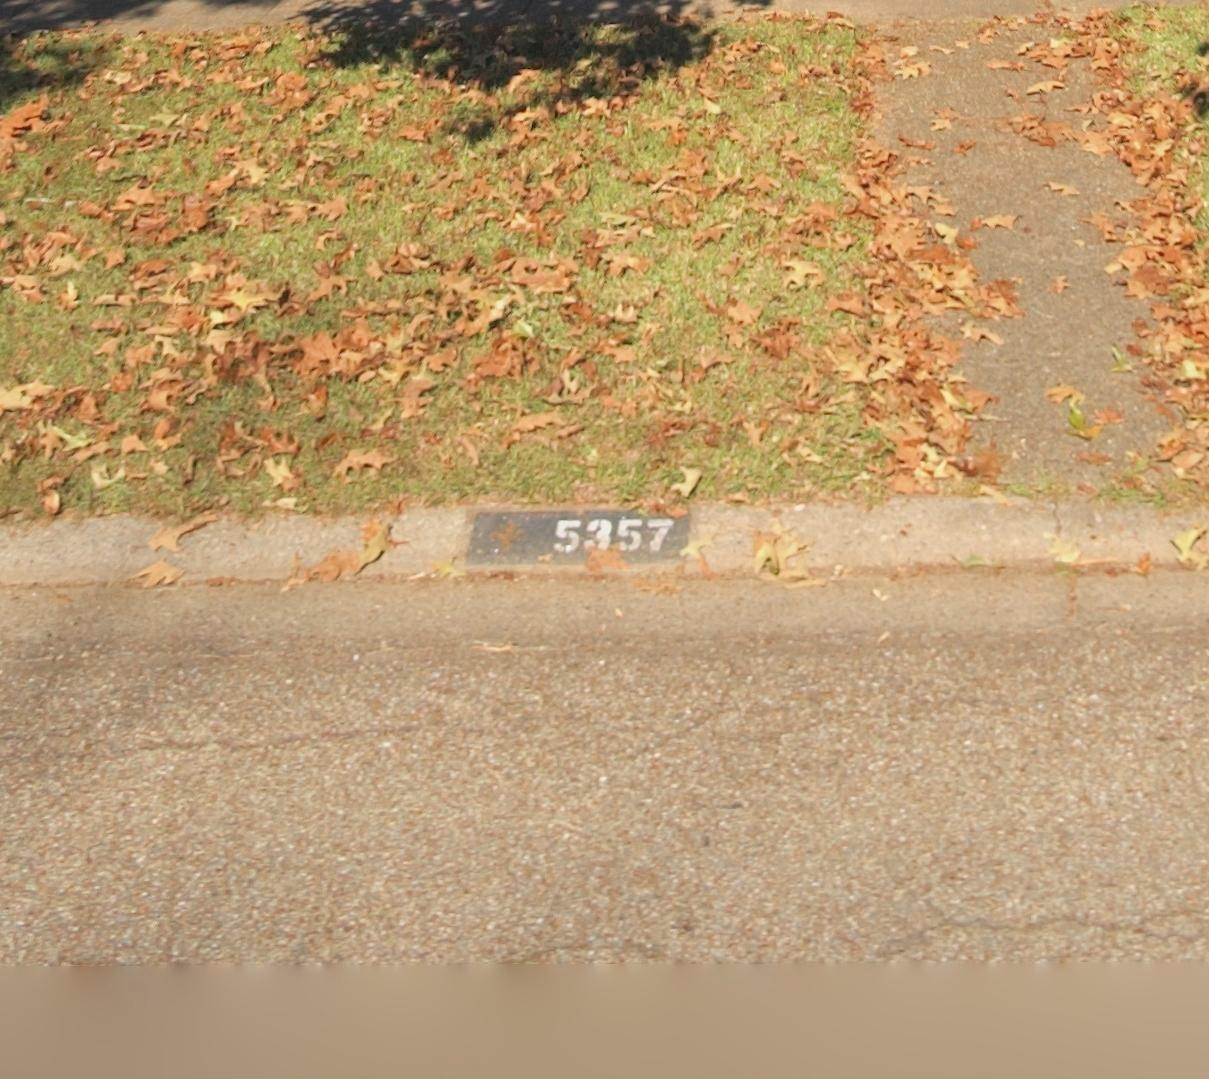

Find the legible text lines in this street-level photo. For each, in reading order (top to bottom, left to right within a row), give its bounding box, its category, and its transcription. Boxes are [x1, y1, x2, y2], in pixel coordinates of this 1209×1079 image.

[551, 515, 679, 556] StreetNumber: 5357